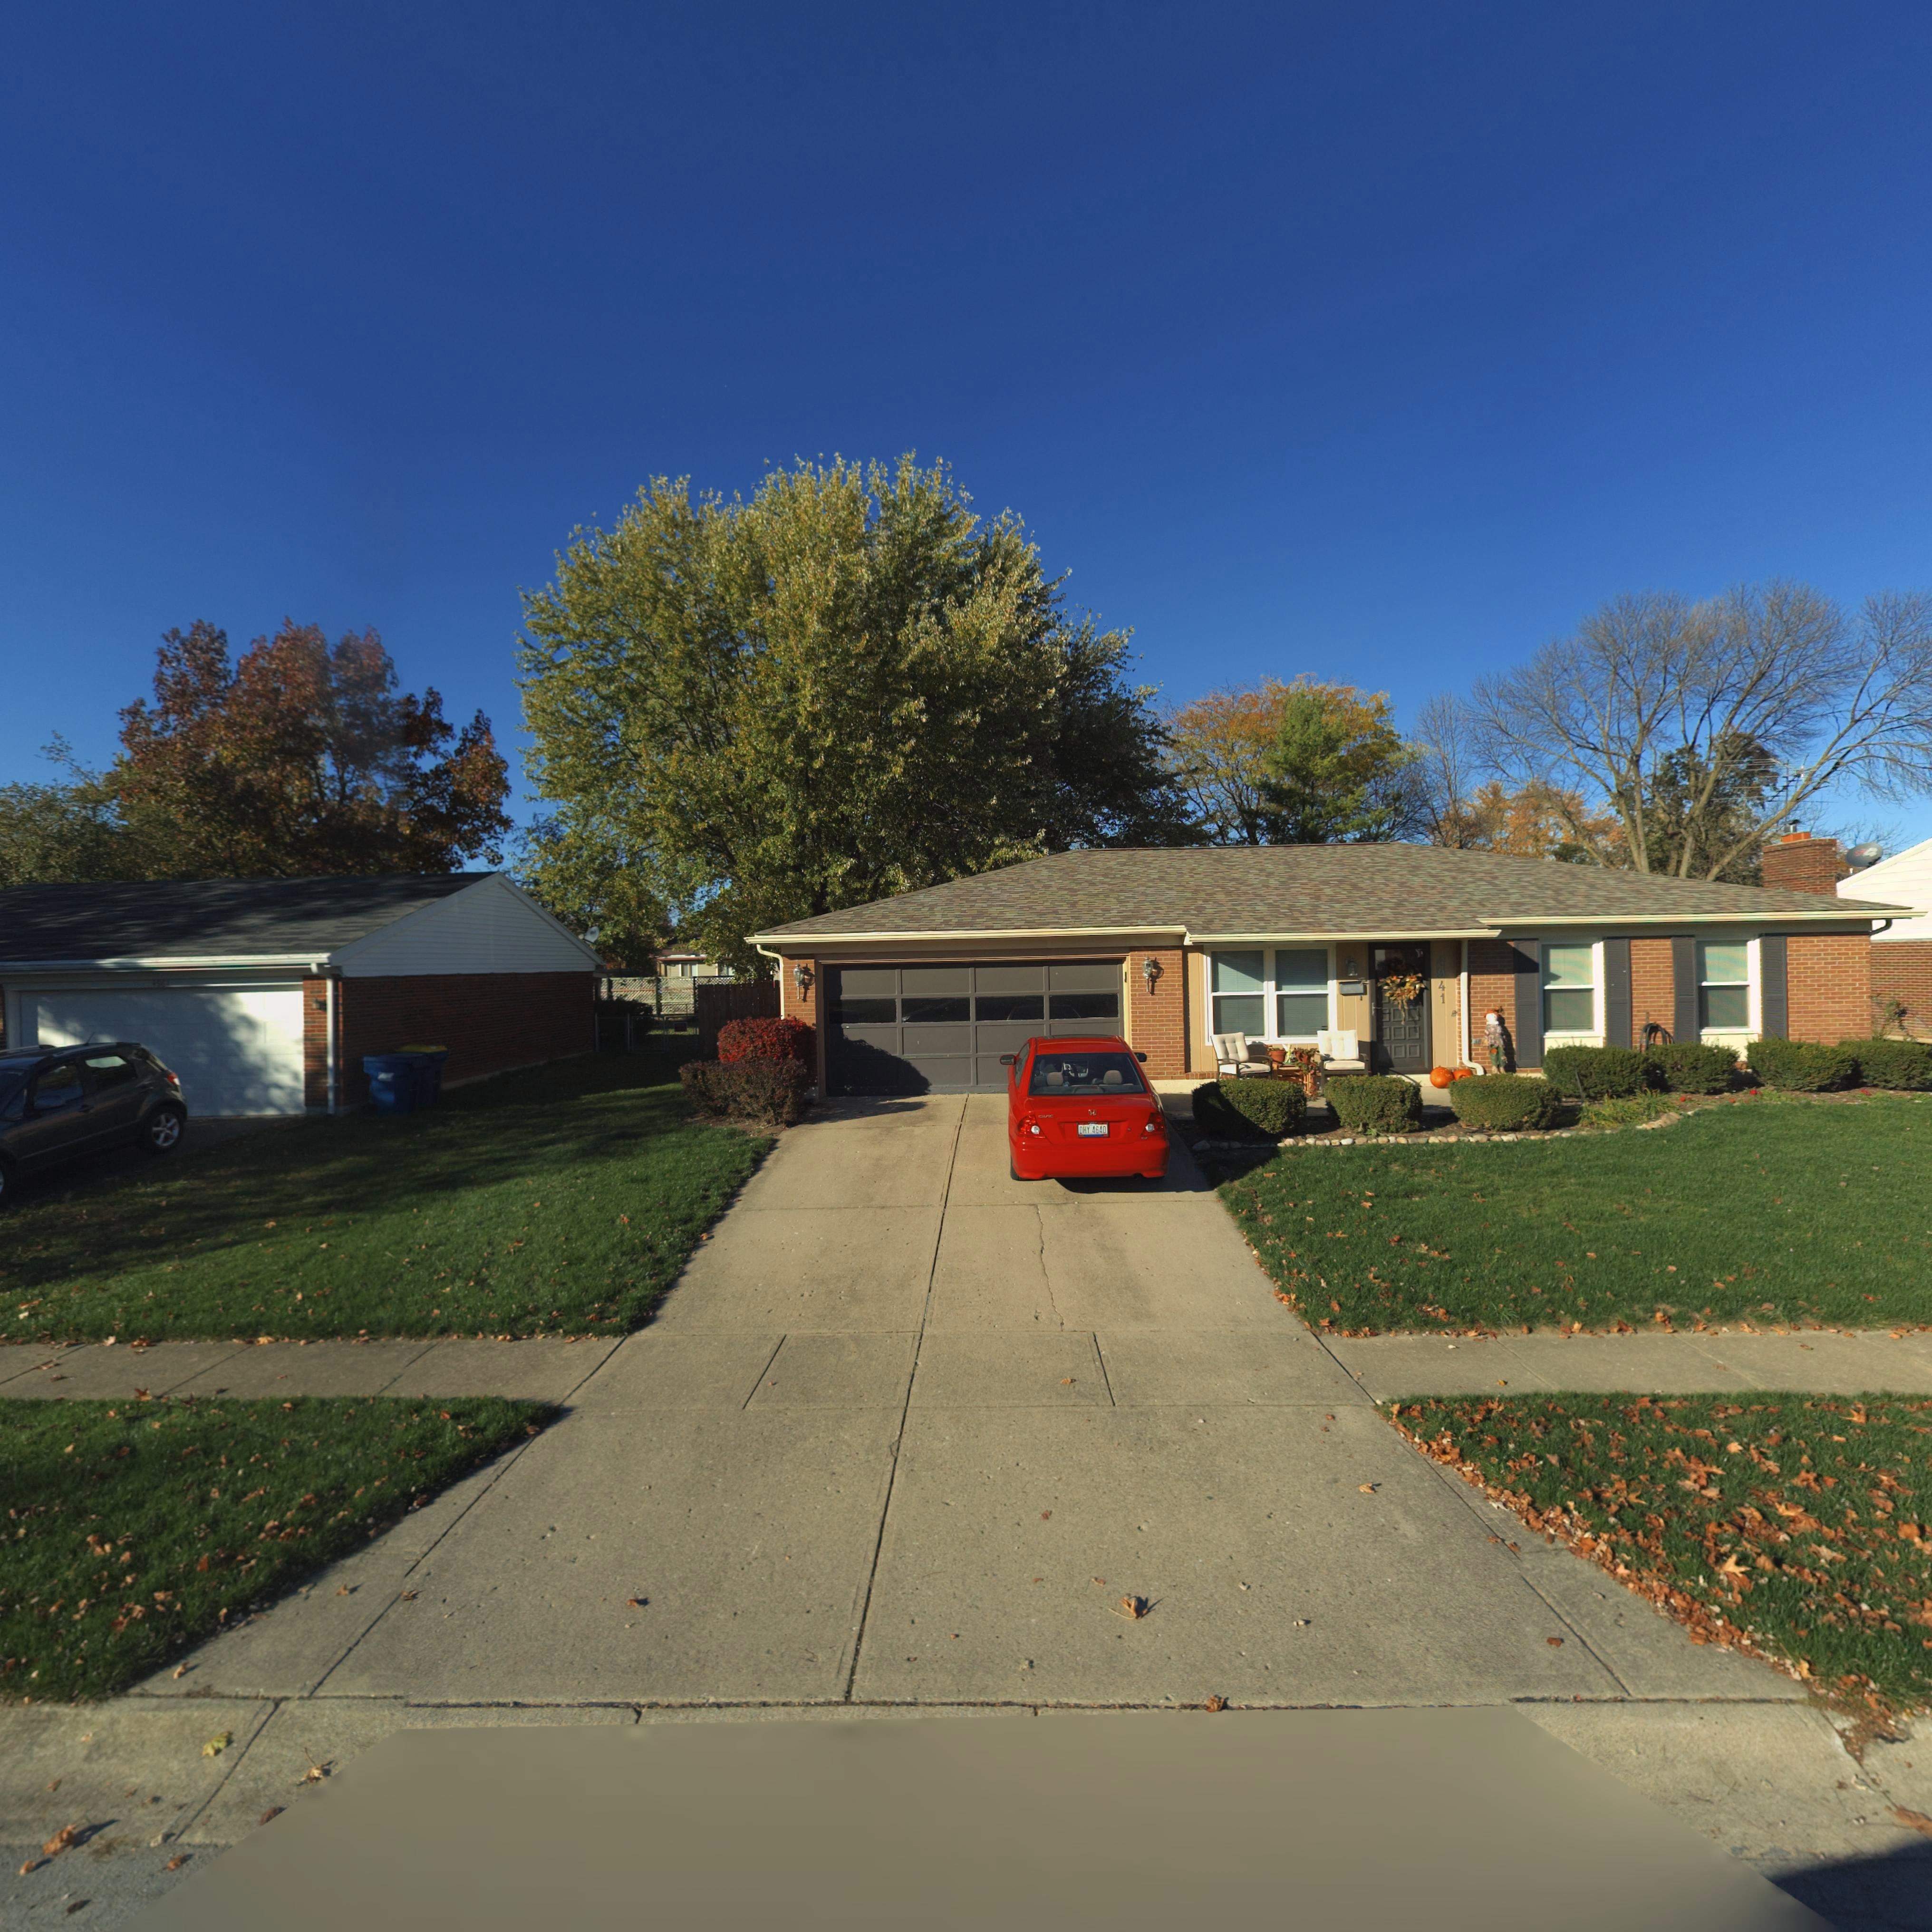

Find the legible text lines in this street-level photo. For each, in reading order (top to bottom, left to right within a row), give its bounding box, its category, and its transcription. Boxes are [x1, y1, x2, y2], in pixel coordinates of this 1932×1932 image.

[151, 978, 171, 988] StreetNumber: 494*
[1436, 954, 1446, 1005] StreetNumber: 4941